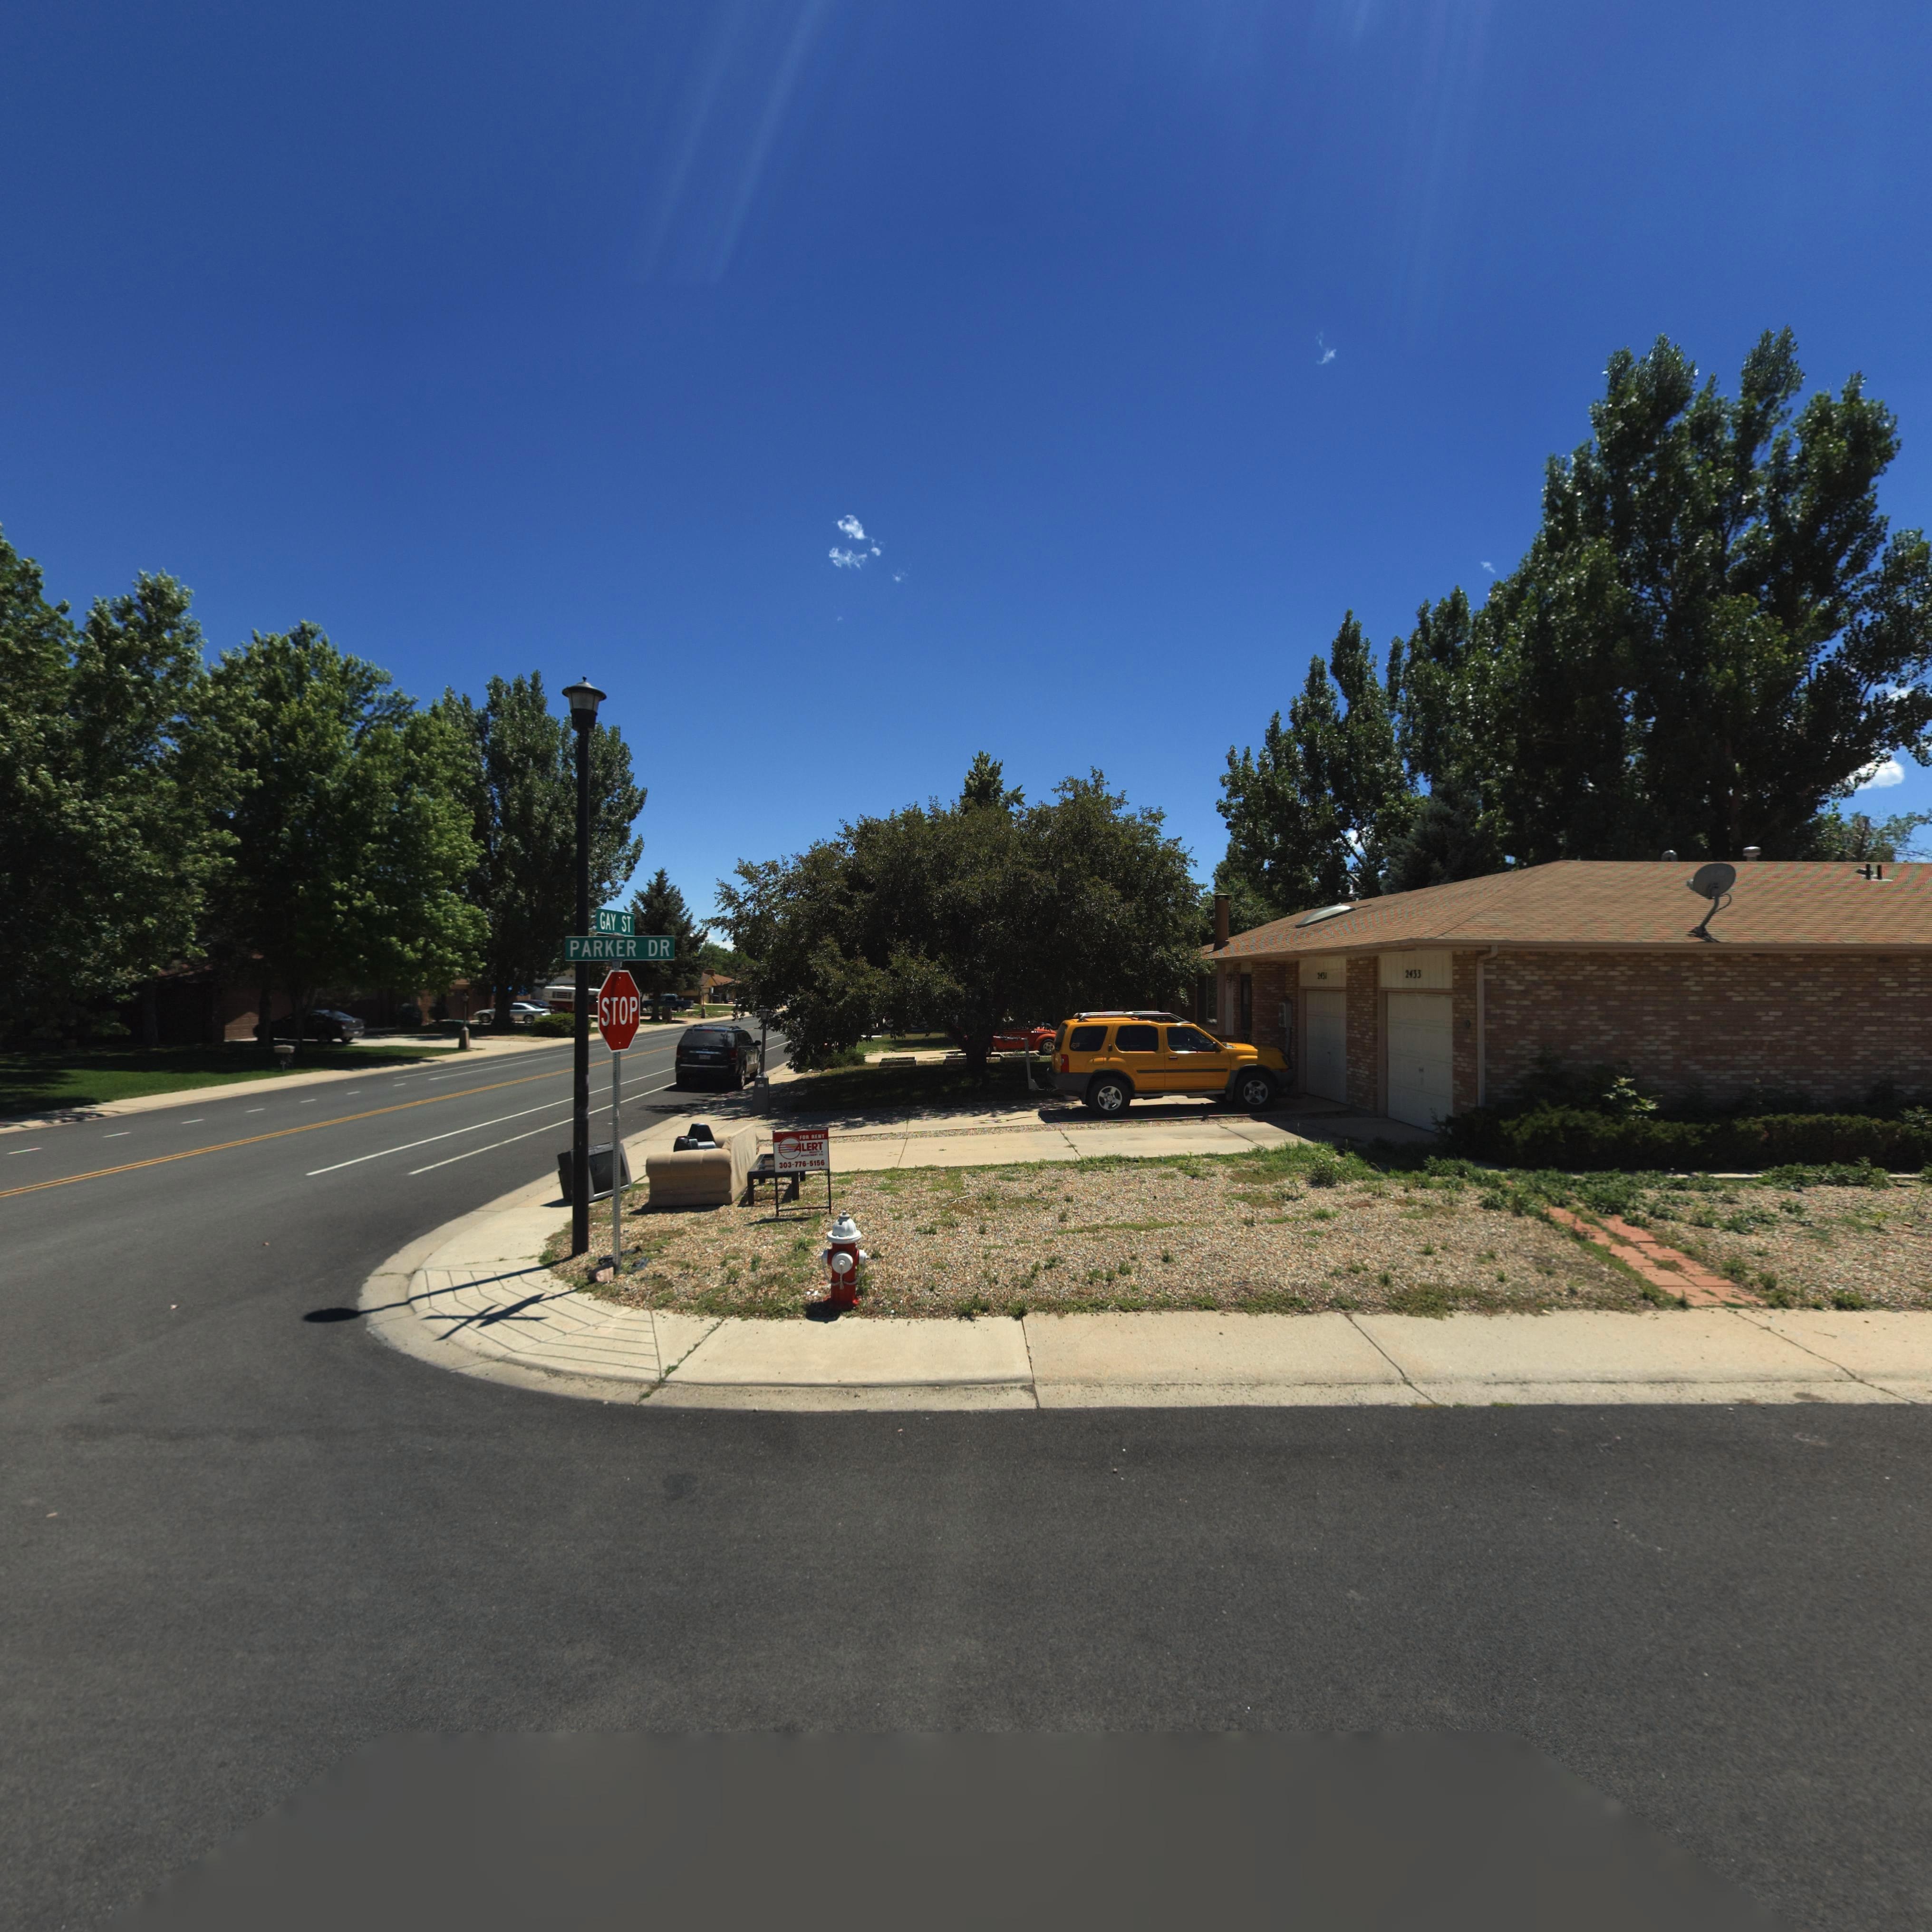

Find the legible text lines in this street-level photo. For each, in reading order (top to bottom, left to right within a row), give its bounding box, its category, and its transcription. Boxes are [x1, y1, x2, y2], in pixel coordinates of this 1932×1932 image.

[599, 911, 631, 933] StreetName: GAY ST
[570, 939, 670, 957] StreetName: PARKER DR
[1316, 971, 1327, 979] StreetNumber: 2431
[1405, 969, 1421, 978] StreetNumber: 2433